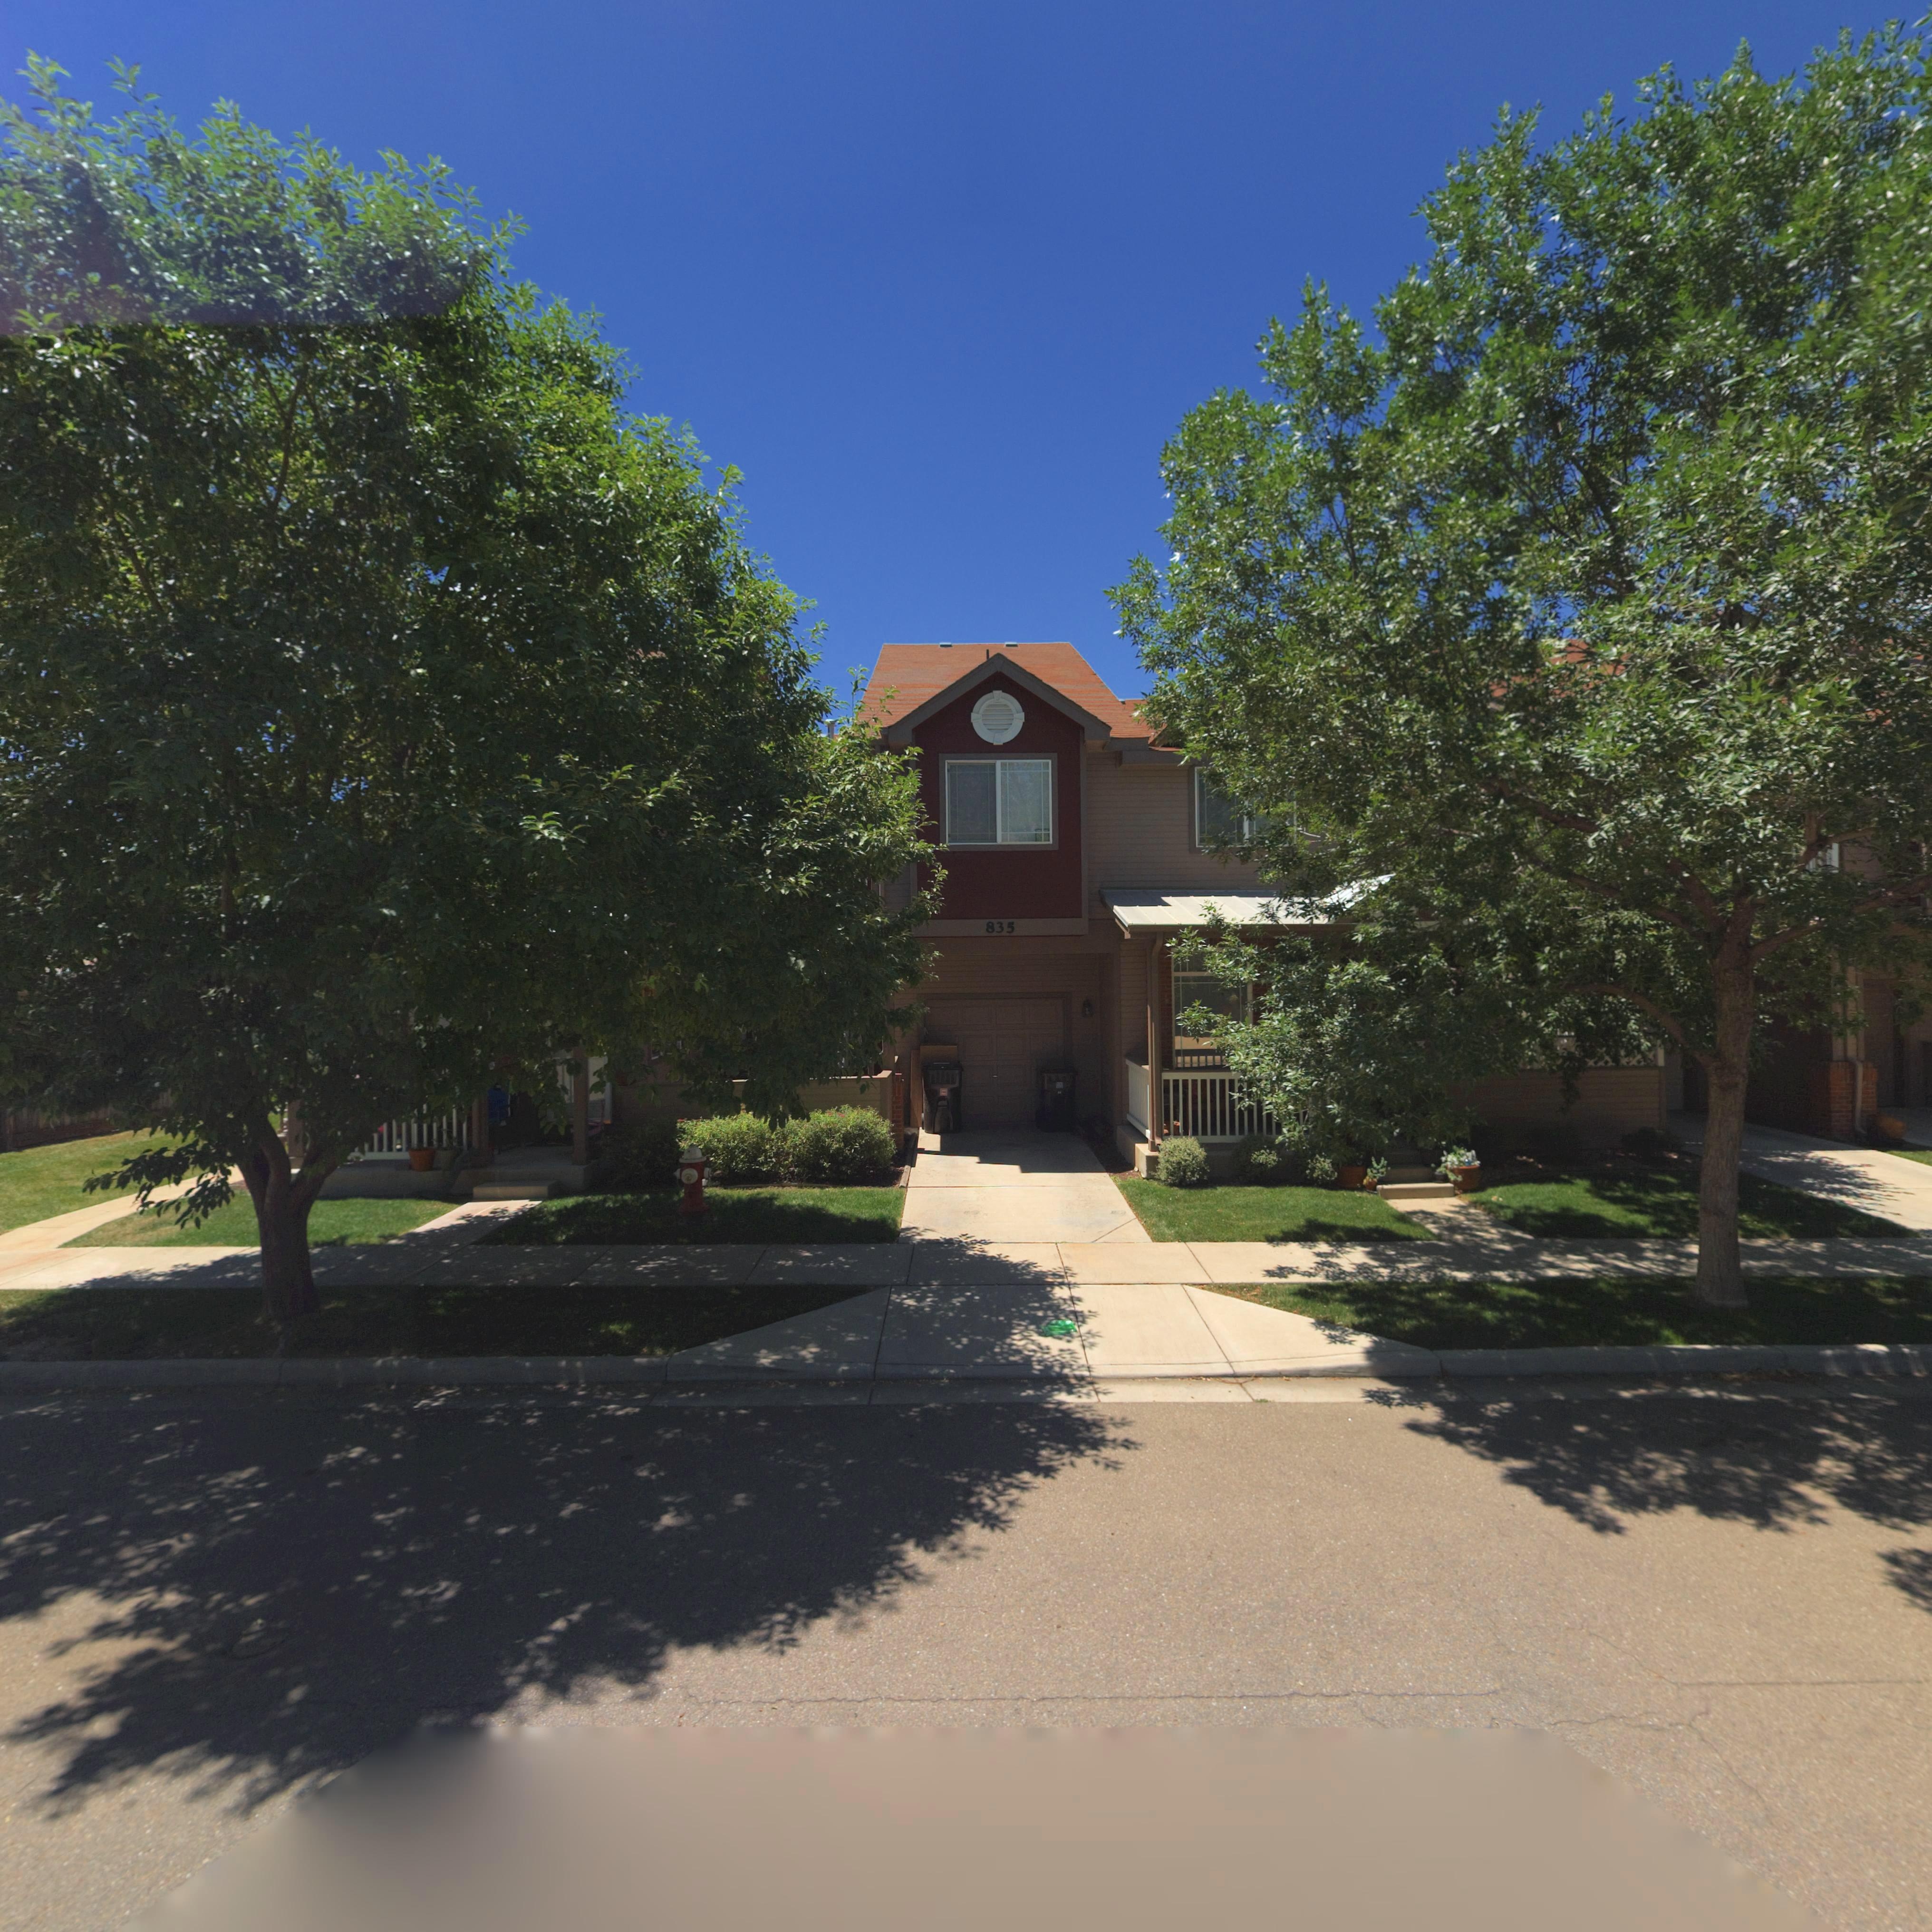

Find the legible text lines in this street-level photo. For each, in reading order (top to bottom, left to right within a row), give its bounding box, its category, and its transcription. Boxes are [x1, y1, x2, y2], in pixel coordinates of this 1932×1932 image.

[985, 920, 1015, 934] StreetName: 835